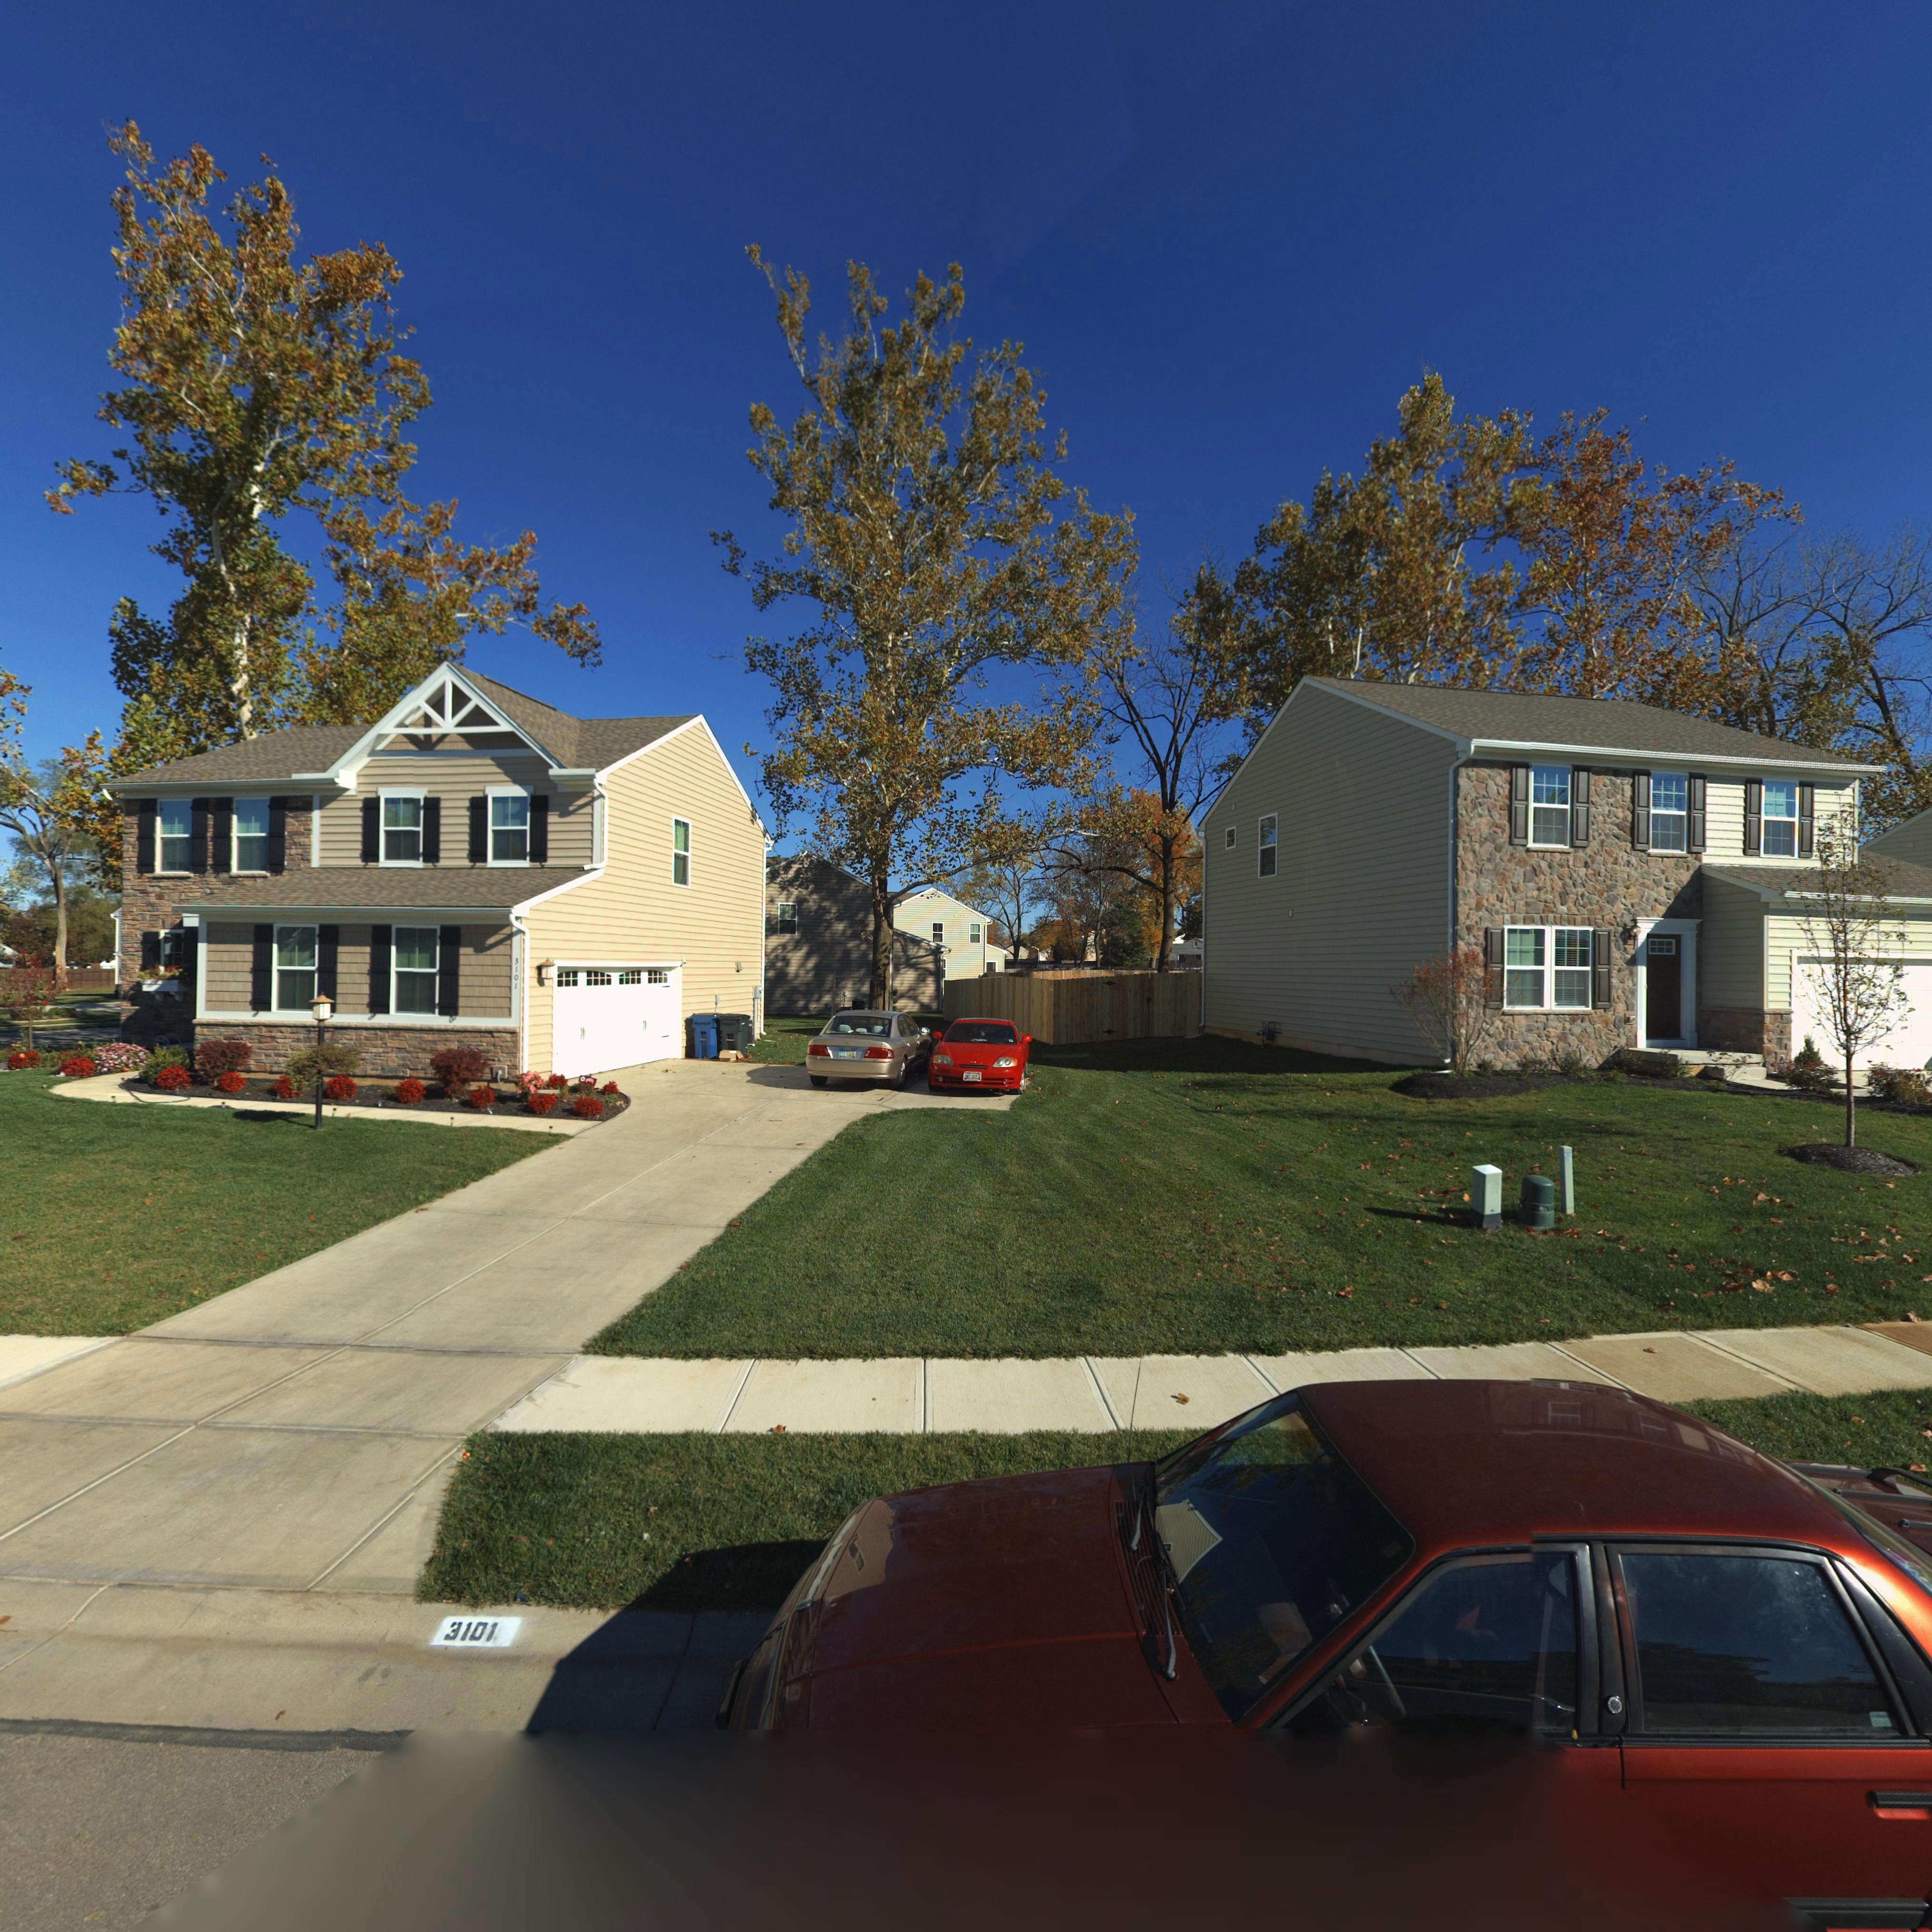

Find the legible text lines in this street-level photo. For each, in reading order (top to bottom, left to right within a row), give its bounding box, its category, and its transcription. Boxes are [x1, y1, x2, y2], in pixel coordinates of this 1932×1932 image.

[514, 957, 519, 989] StreetNumber: 3101
[442, 1621, 500, 1642] StreetNumber: 3101